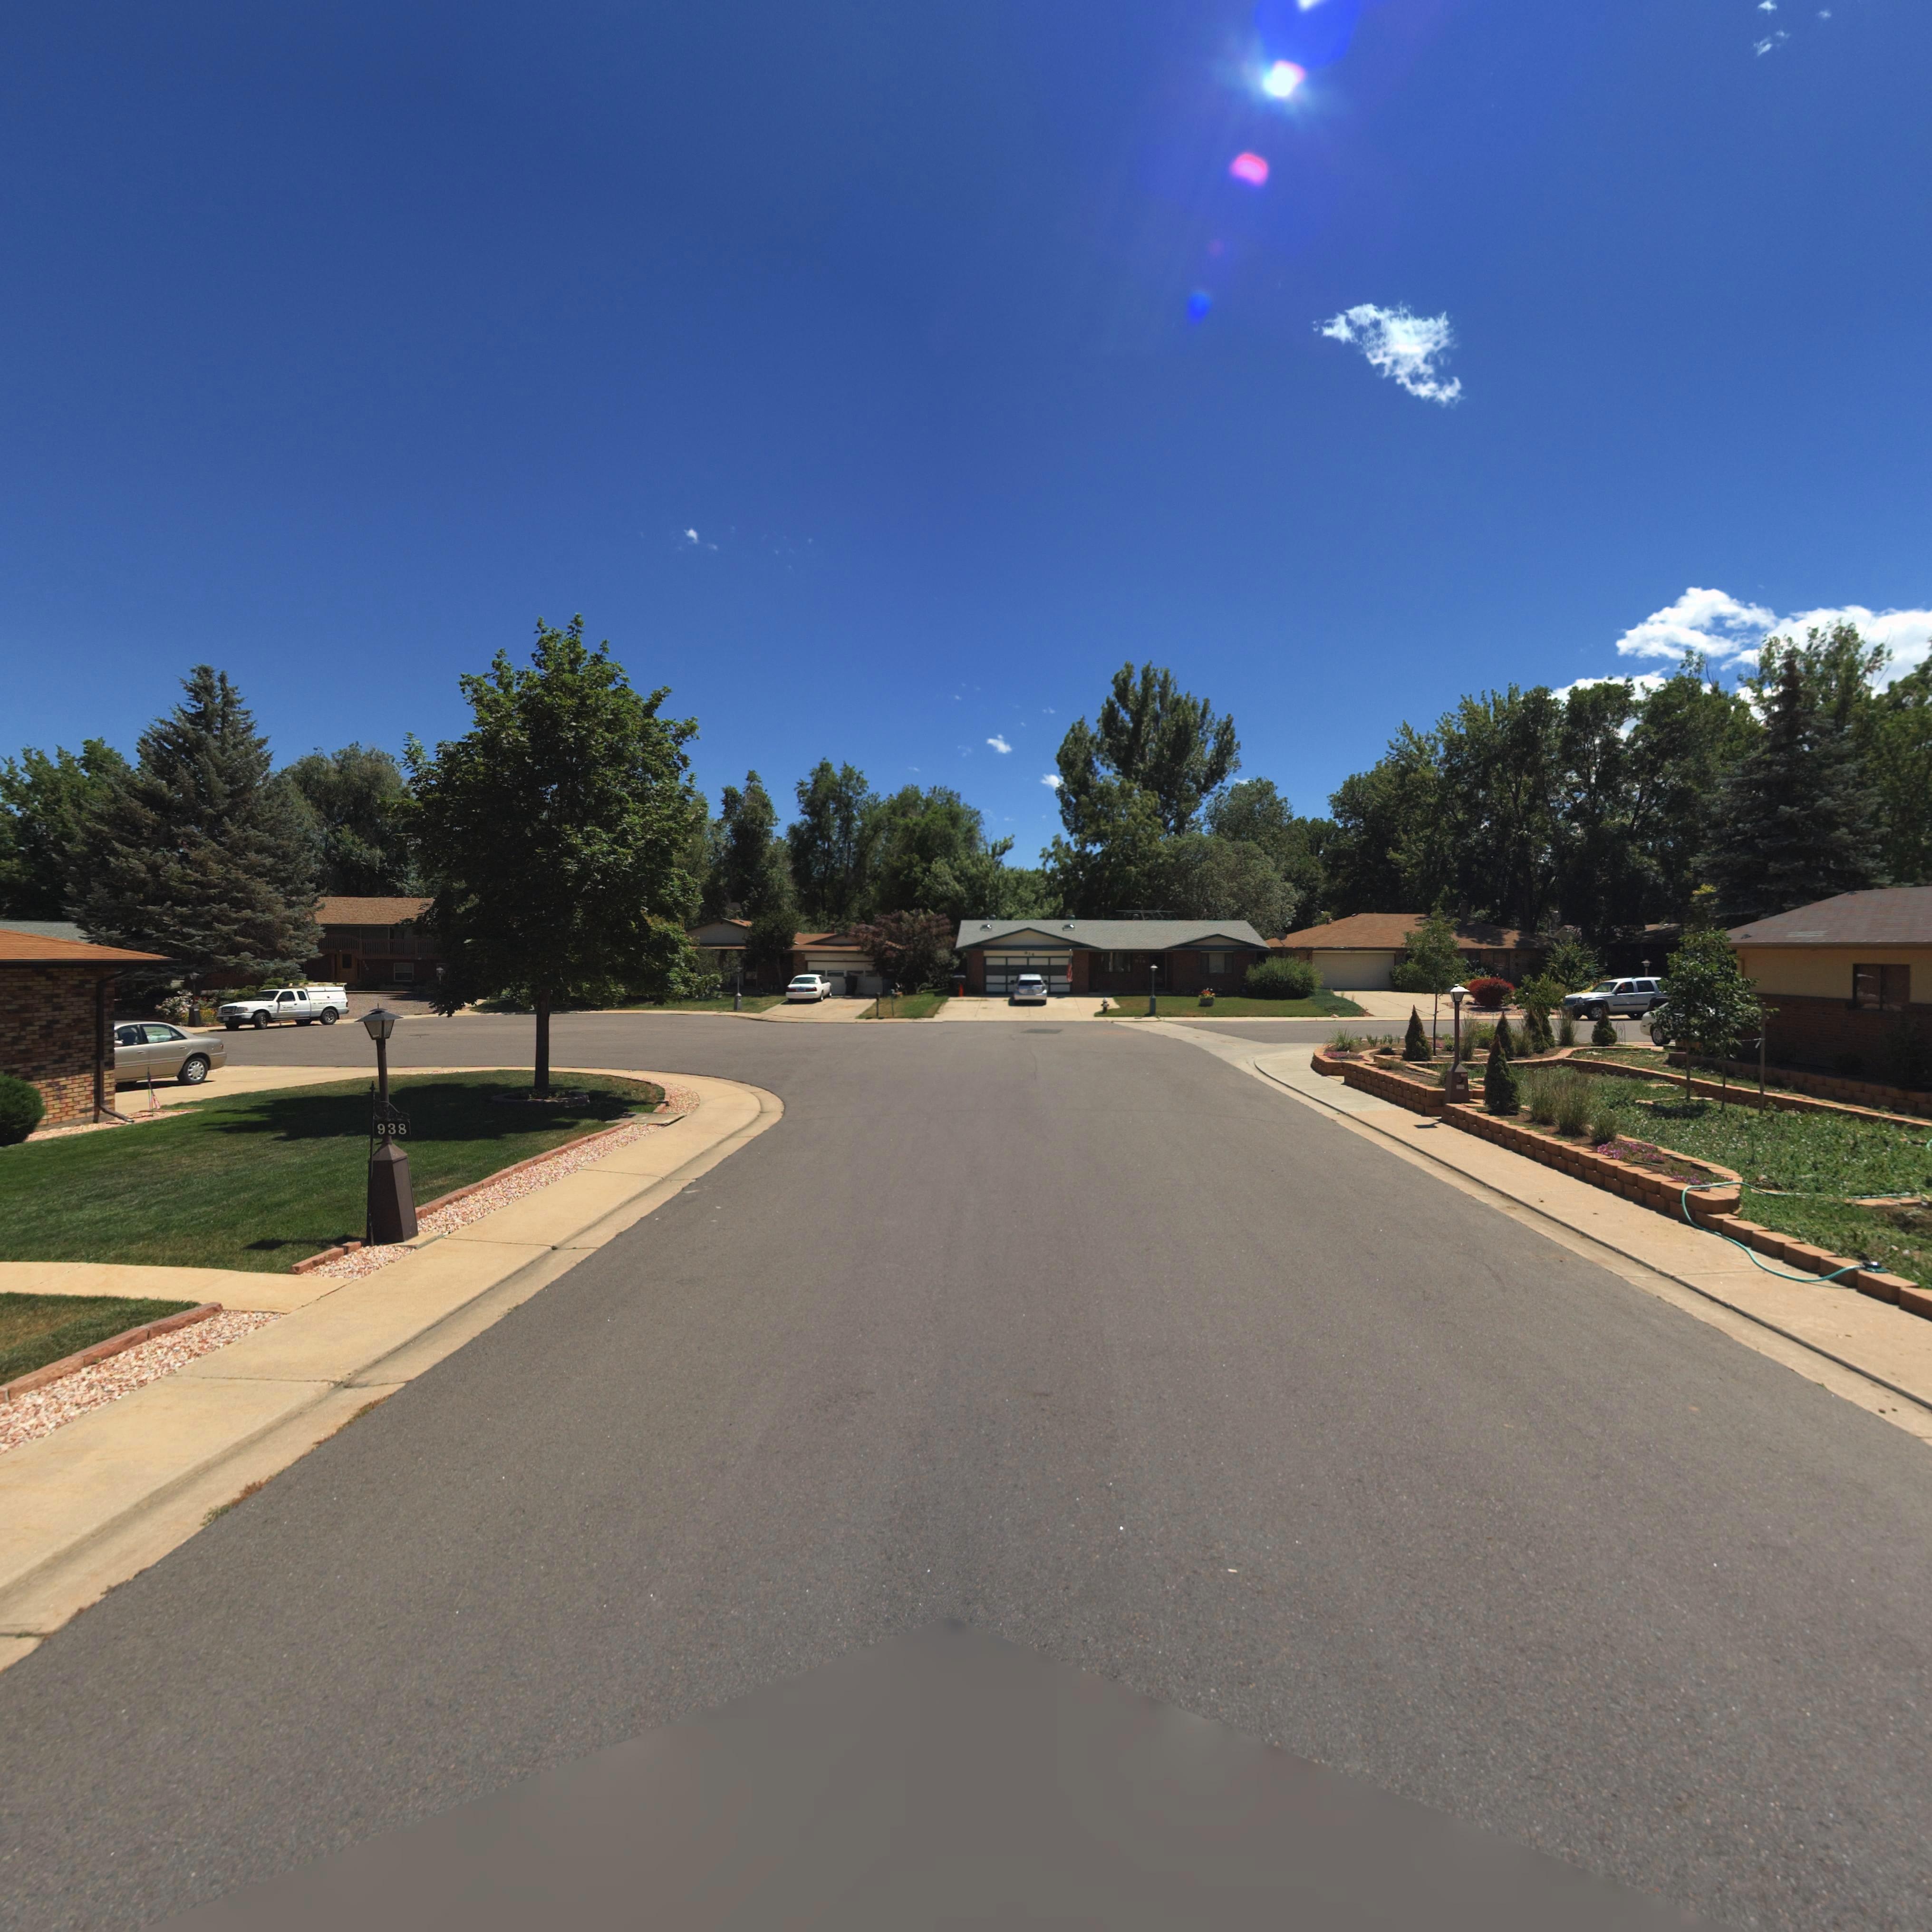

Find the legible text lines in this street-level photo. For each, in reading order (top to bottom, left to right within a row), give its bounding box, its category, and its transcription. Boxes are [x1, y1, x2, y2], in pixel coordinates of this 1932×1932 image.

[1024, 950, 1034, 956] StreetNumber: *1*
[362, 960, 369, 970] StreetNumber: *30
[1134, 959, 1145, 963] StreetNumber: 91*
[377, 1123, 406, 1135] StreetNumber: 938